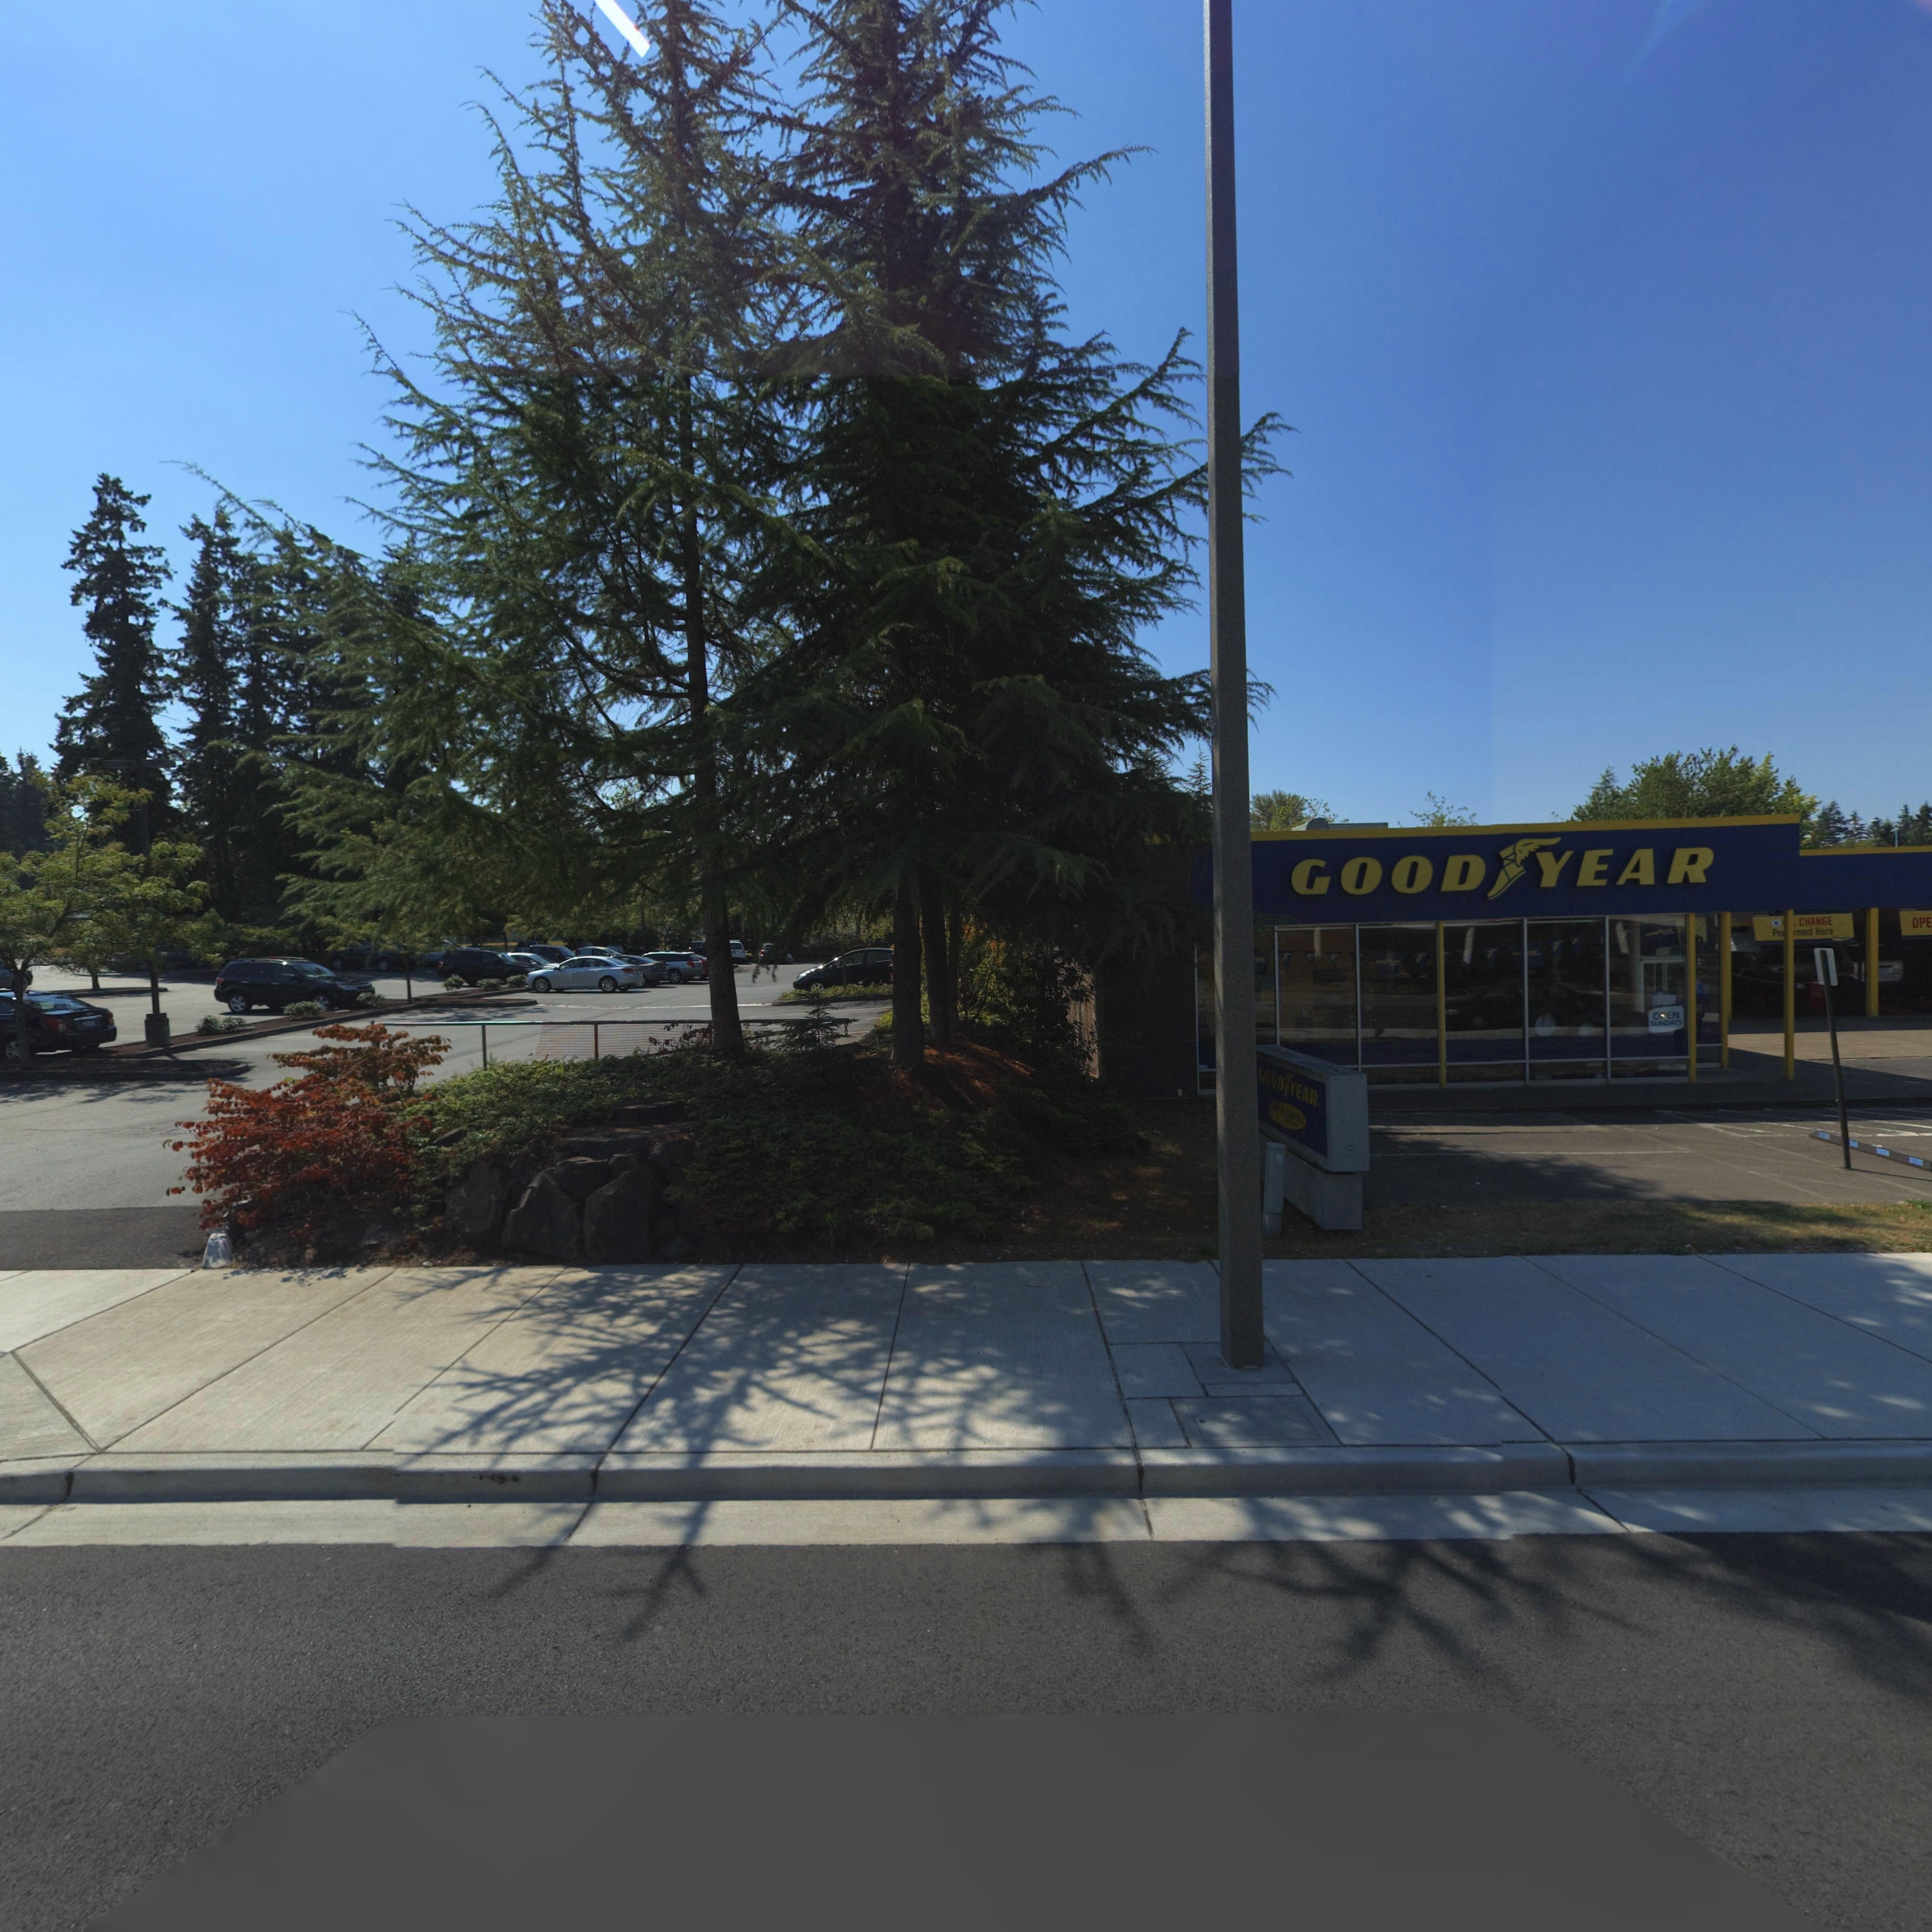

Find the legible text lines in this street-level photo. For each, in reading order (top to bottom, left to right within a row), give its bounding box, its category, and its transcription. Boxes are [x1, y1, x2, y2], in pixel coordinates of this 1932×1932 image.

[1288, 846, 1717, 896] BusinessName: GOOD*YEAR
[1257, 1065, 1318, 1108] BusinessName: GOOD*YEAR